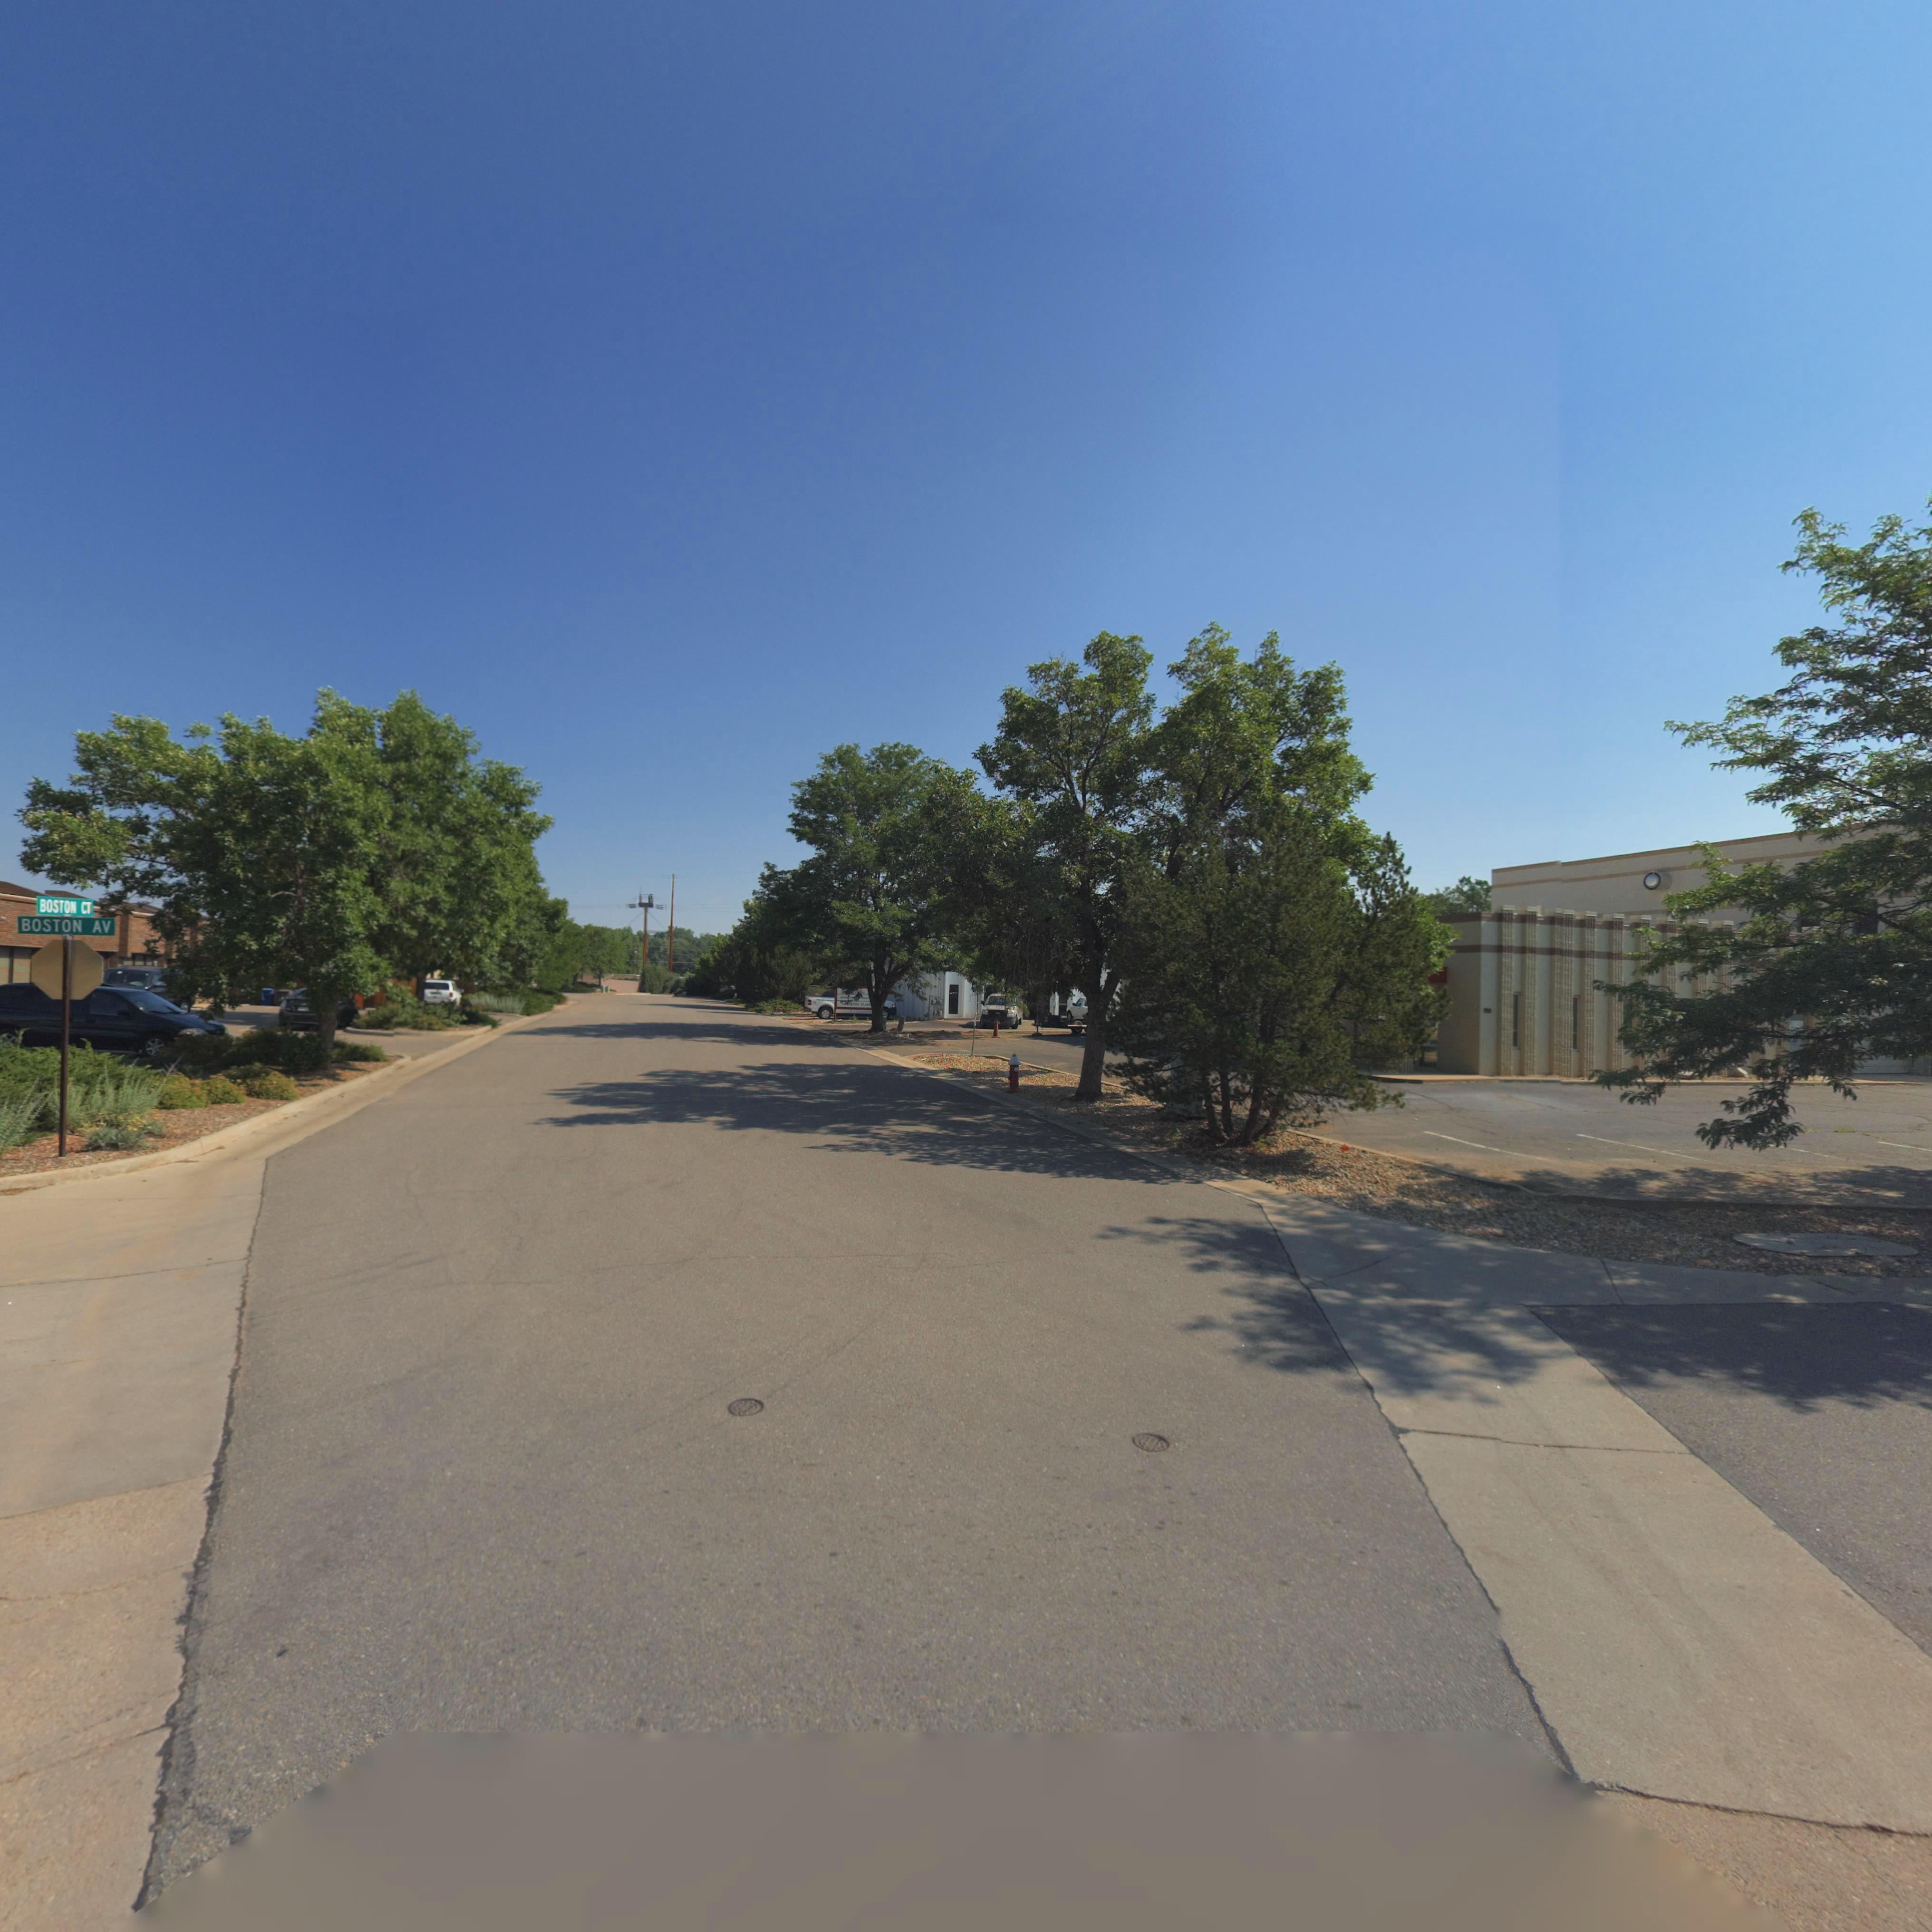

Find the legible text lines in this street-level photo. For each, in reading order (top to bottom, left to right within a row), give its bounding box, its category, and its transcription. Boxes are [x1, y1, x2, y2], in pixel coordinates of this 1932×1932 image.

[39, 898, 93, 915] StreetName: BOSTO* CT
[21, 918, 112, 934] StreetName: BOSTON AV